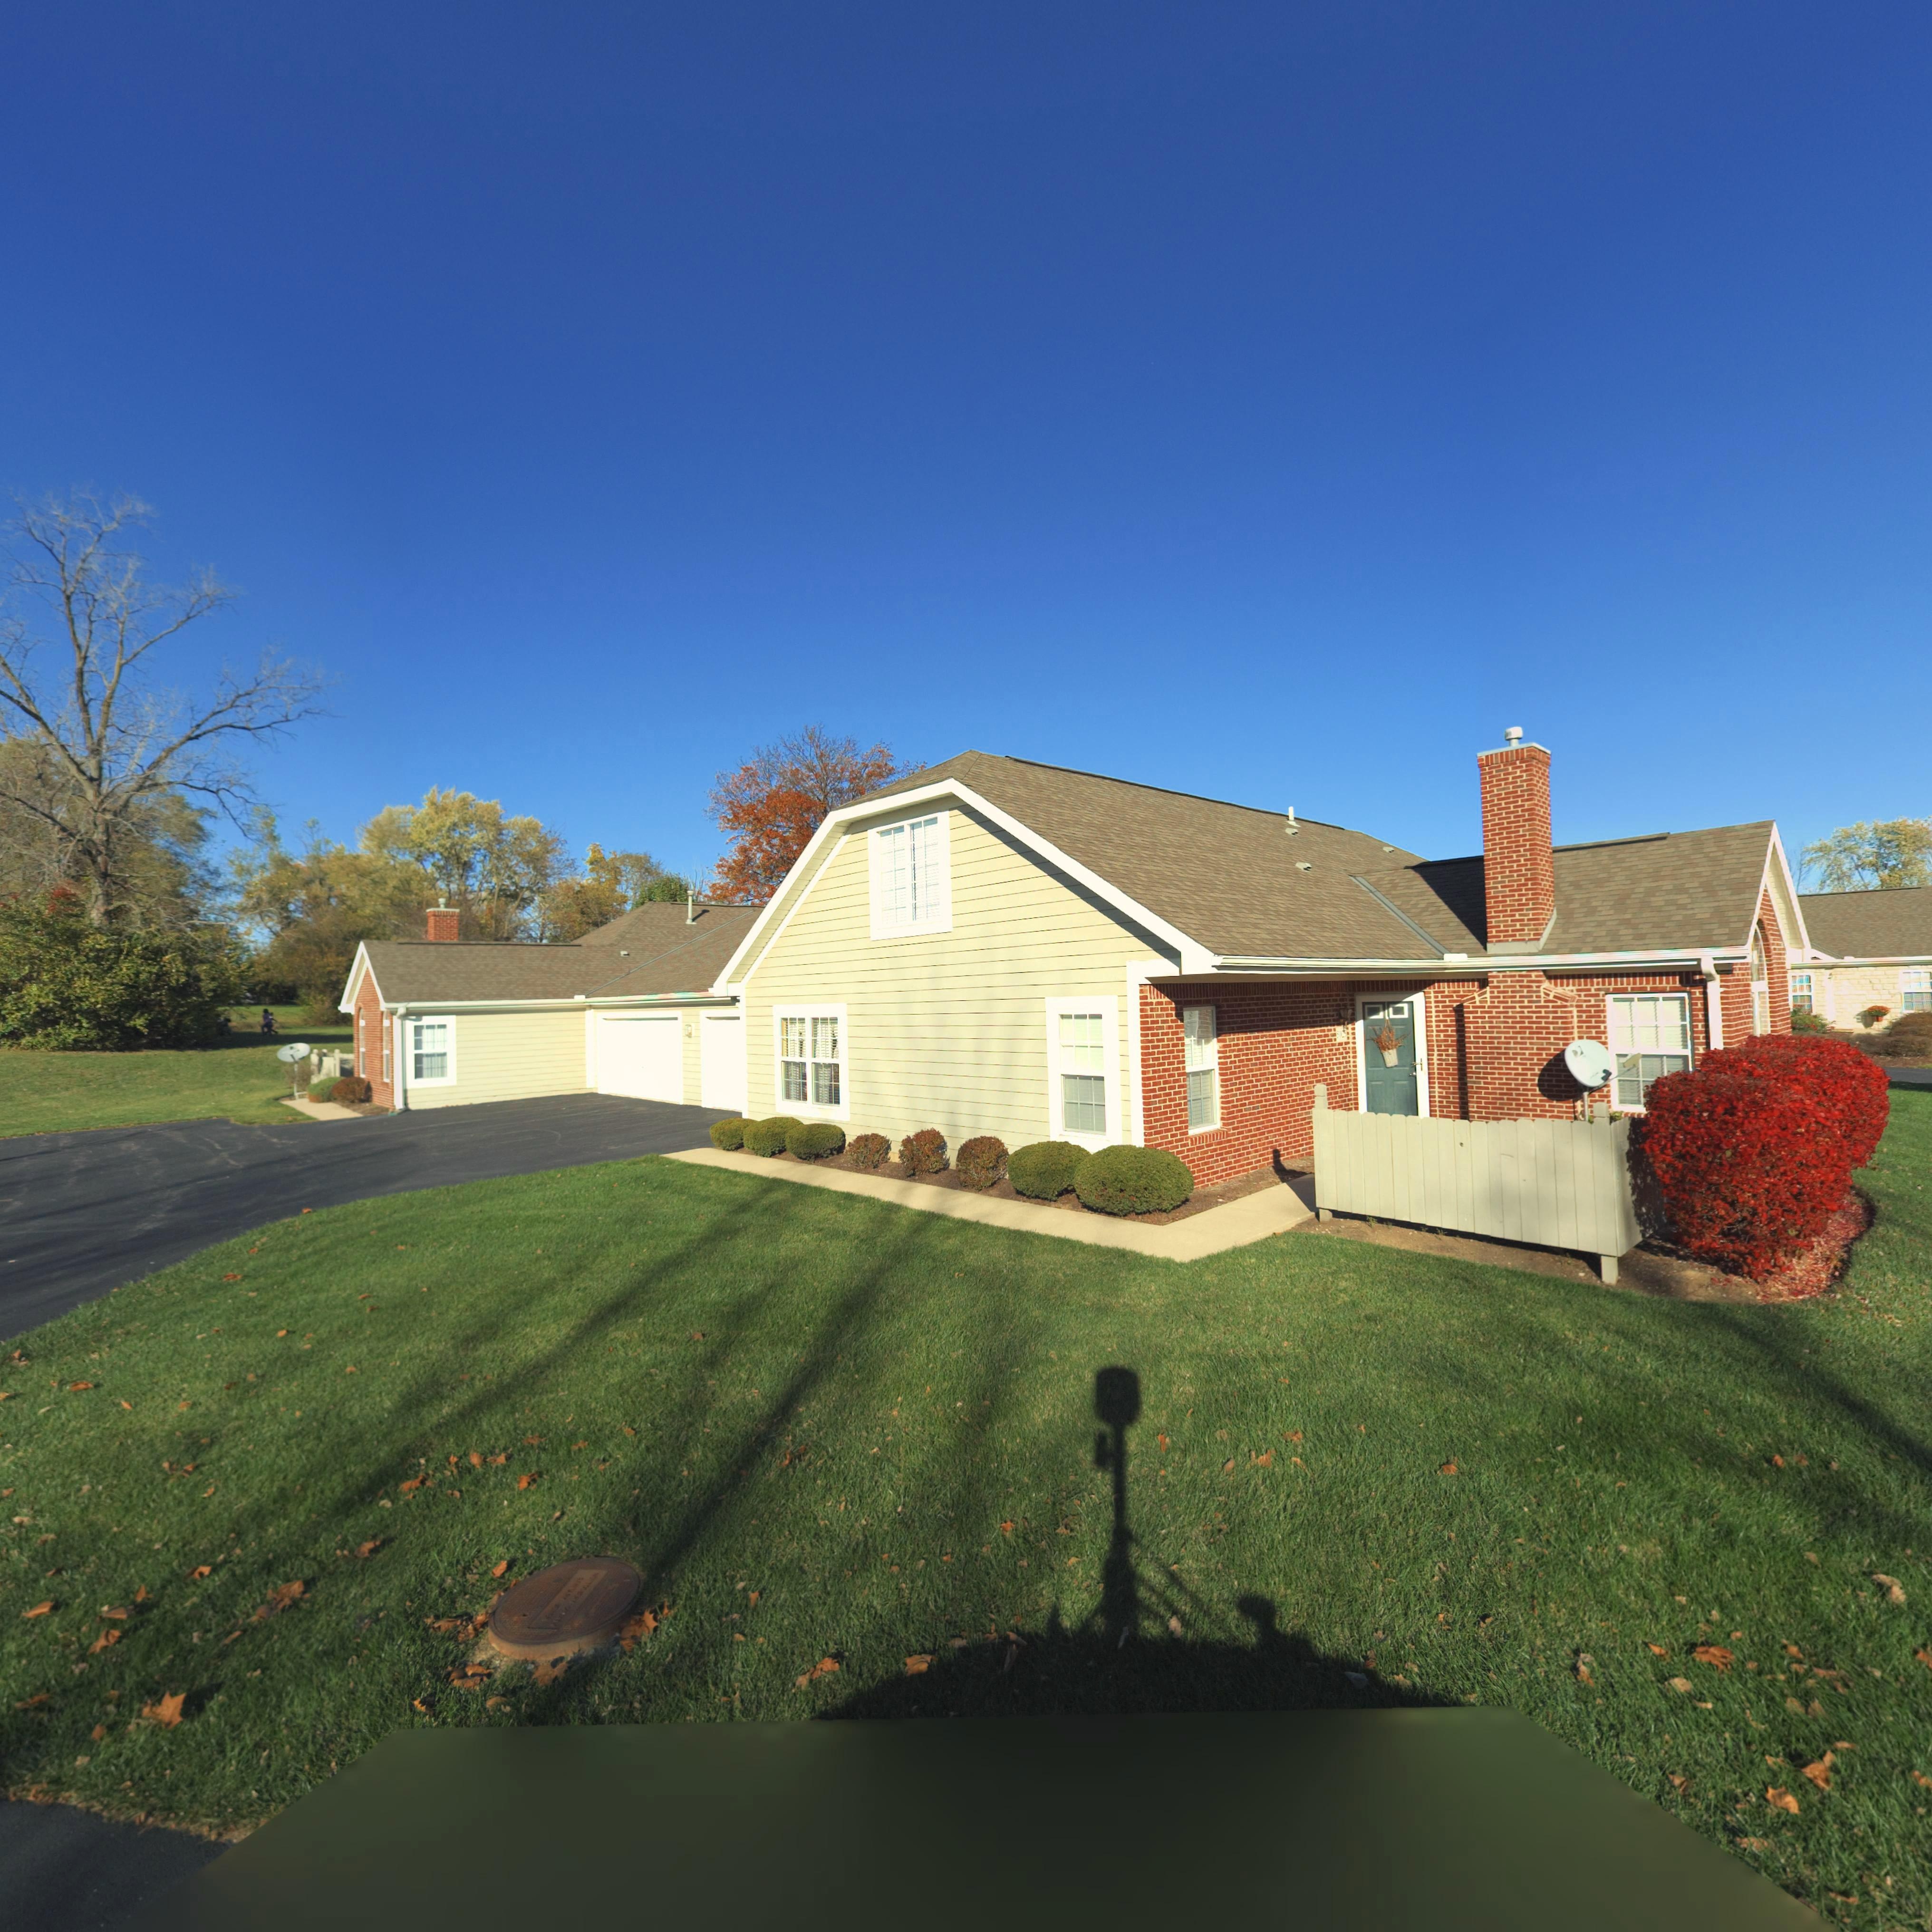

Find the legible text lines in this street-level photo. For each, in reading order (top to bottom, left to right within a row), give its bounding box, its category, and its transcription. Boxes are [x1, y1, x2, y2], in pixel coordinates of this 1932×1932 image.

[1335, 1029, 1347, 1040] StreetNumber: *0**